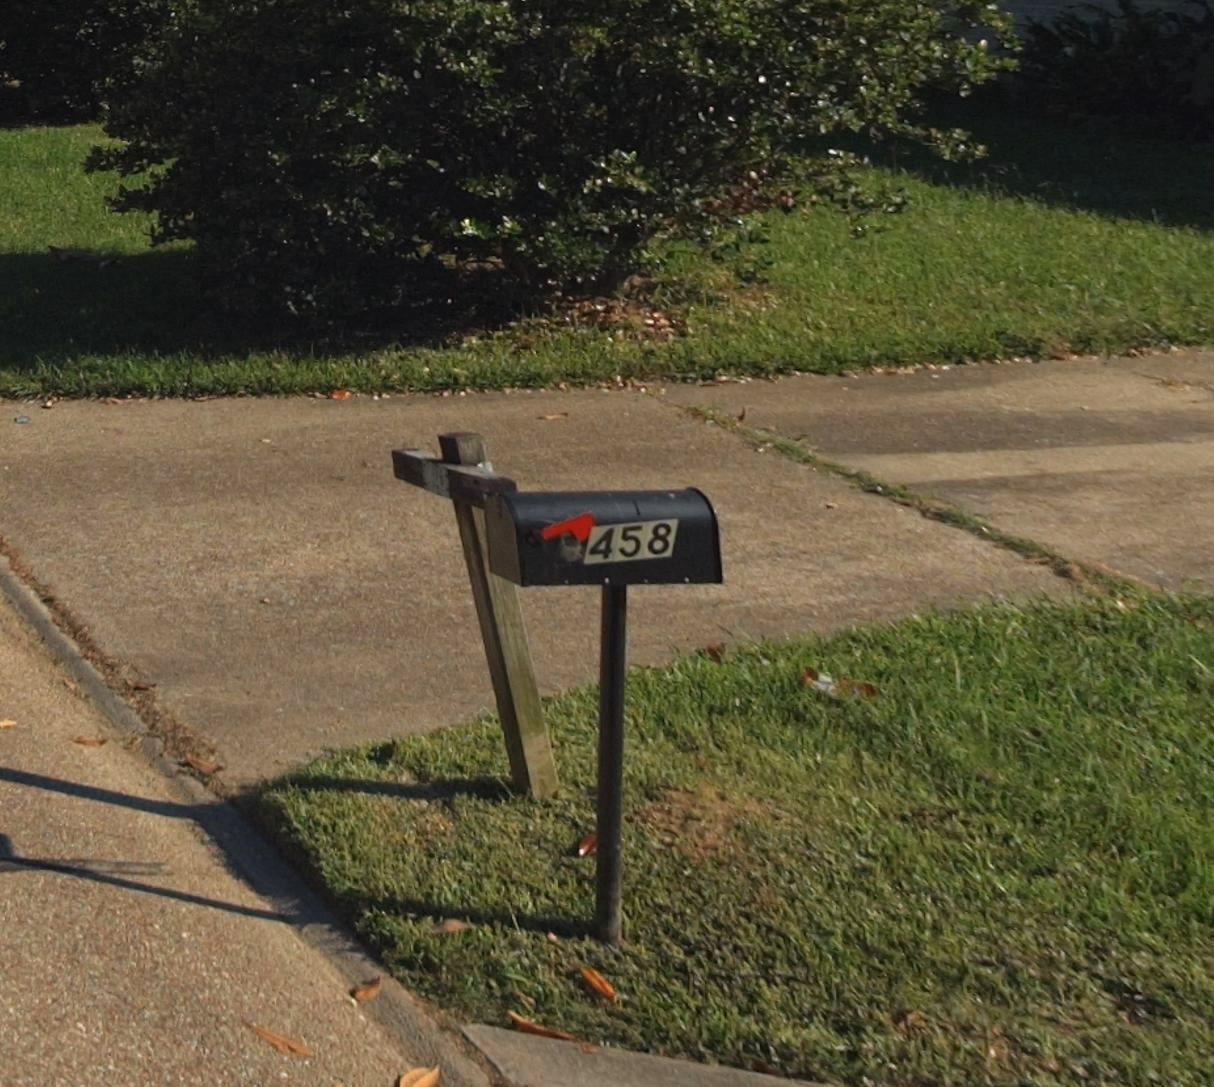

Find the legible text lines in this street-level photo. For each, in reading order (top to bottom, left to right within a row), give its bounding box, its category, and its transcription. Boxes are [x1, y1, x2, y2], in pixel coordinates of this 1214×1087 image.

[585, 521, 674, 562] StreetNumber: 9458